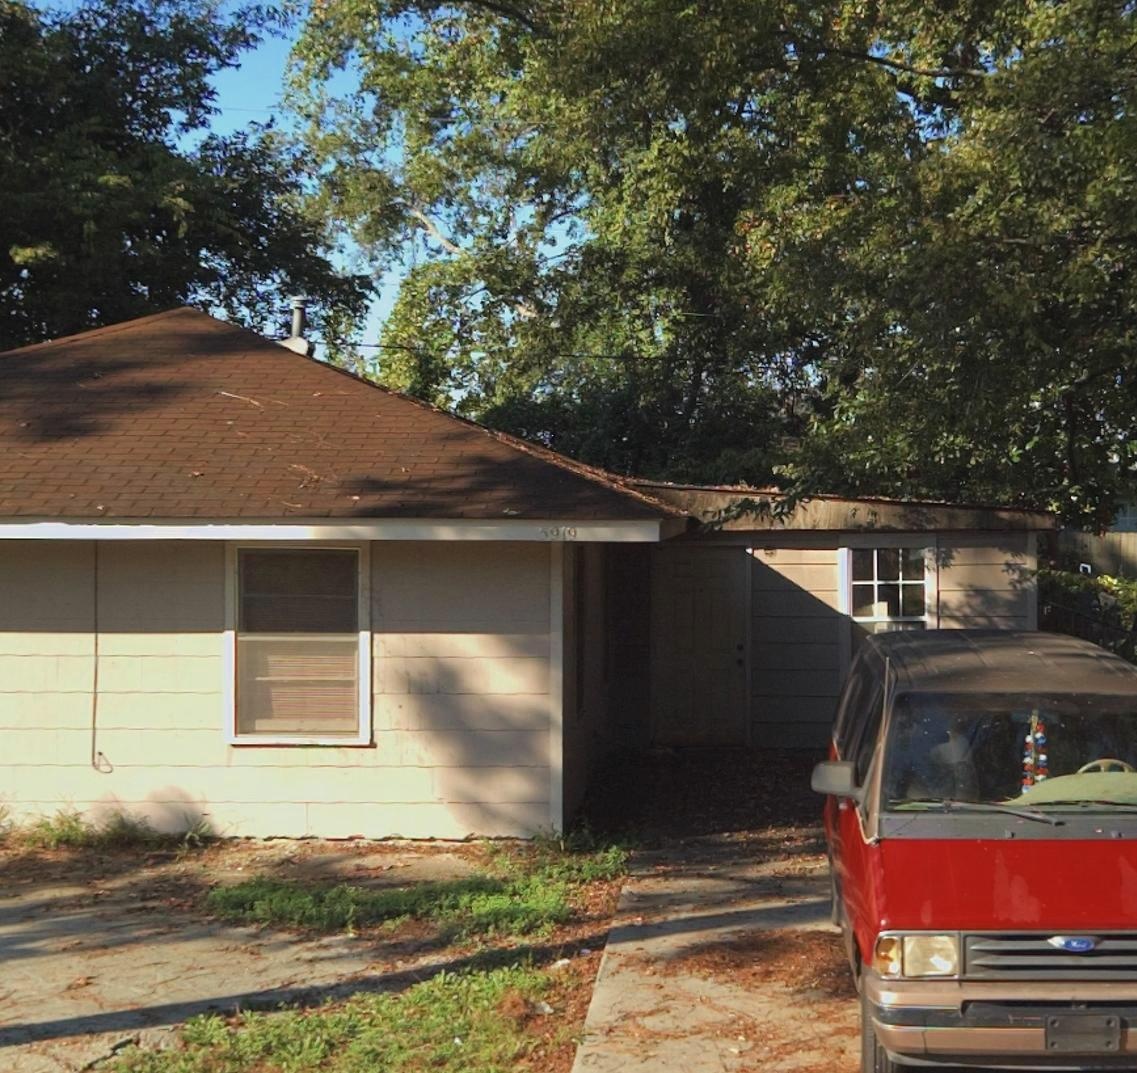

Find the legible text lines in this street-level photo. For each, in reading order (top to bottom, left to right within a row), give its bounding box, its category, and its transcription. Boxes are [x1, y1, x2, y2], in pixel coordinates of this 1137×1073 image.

[538, 526, 577, 542] StreetNumber: 5979